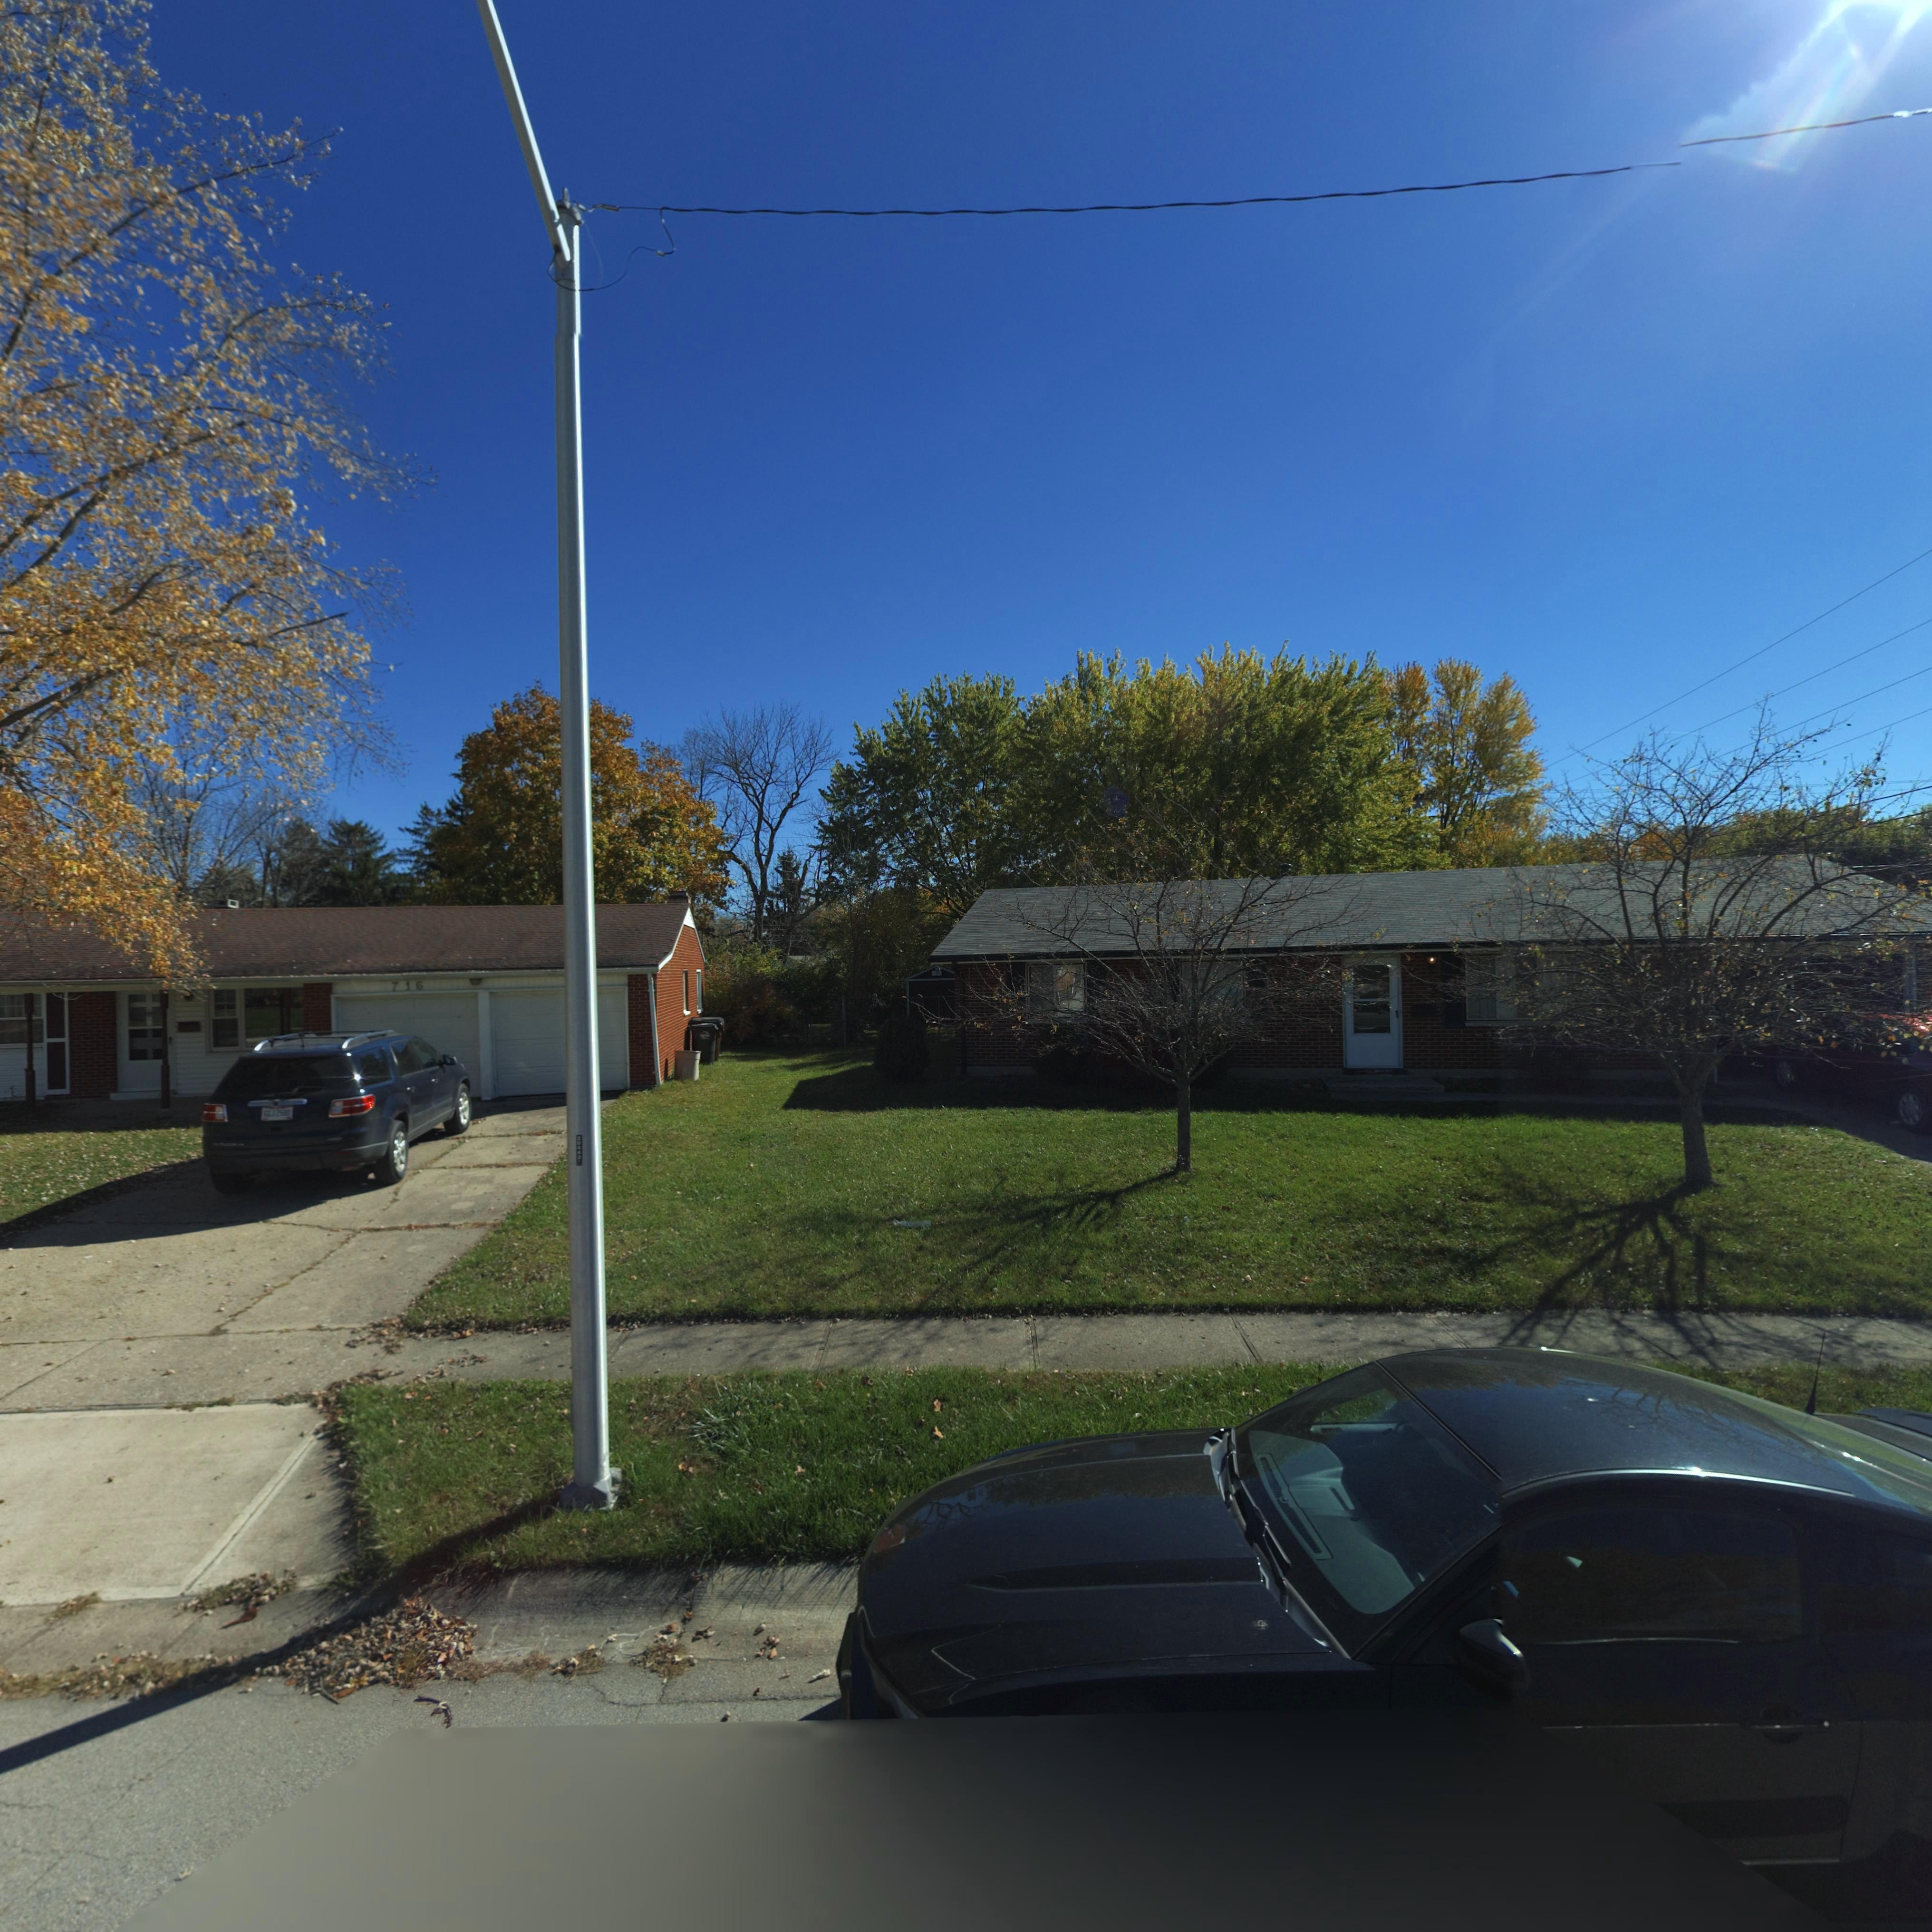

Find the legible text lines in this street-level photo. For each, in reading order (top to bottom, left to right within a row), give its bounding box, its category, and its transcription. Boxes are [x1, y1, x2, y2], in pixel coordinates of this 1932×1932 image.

[390, 980, 424, 992] StreetNumber: 716